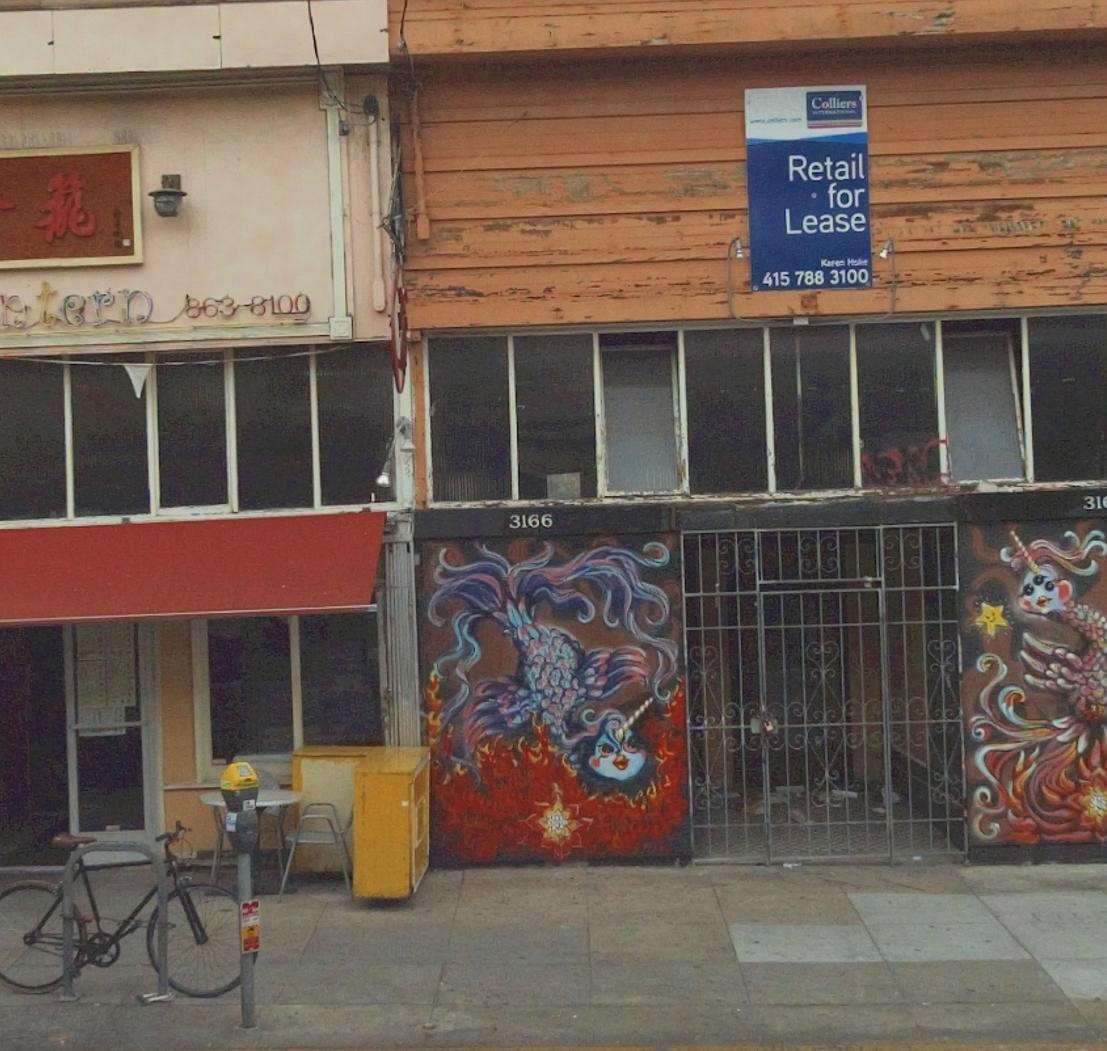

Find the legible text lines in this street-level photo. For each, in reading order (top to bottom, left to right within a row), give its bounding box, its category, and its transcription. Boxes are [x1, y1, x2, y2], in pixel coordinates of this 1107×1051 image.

[809, 95, 859, 111] None: Colliers
[787, 150, 868, 183] None: Retail
[826, 180, 868, 209] None: for
[782, 207, 868, 235] None: Lease
[759, 267, 871, 290] None: 415 788 3100
[184, 292, 313, 320] None: 863*8100
[1081, 494, 1104, 512] None: 31
[506, 512, 554, 530] StreetNumber: 3166